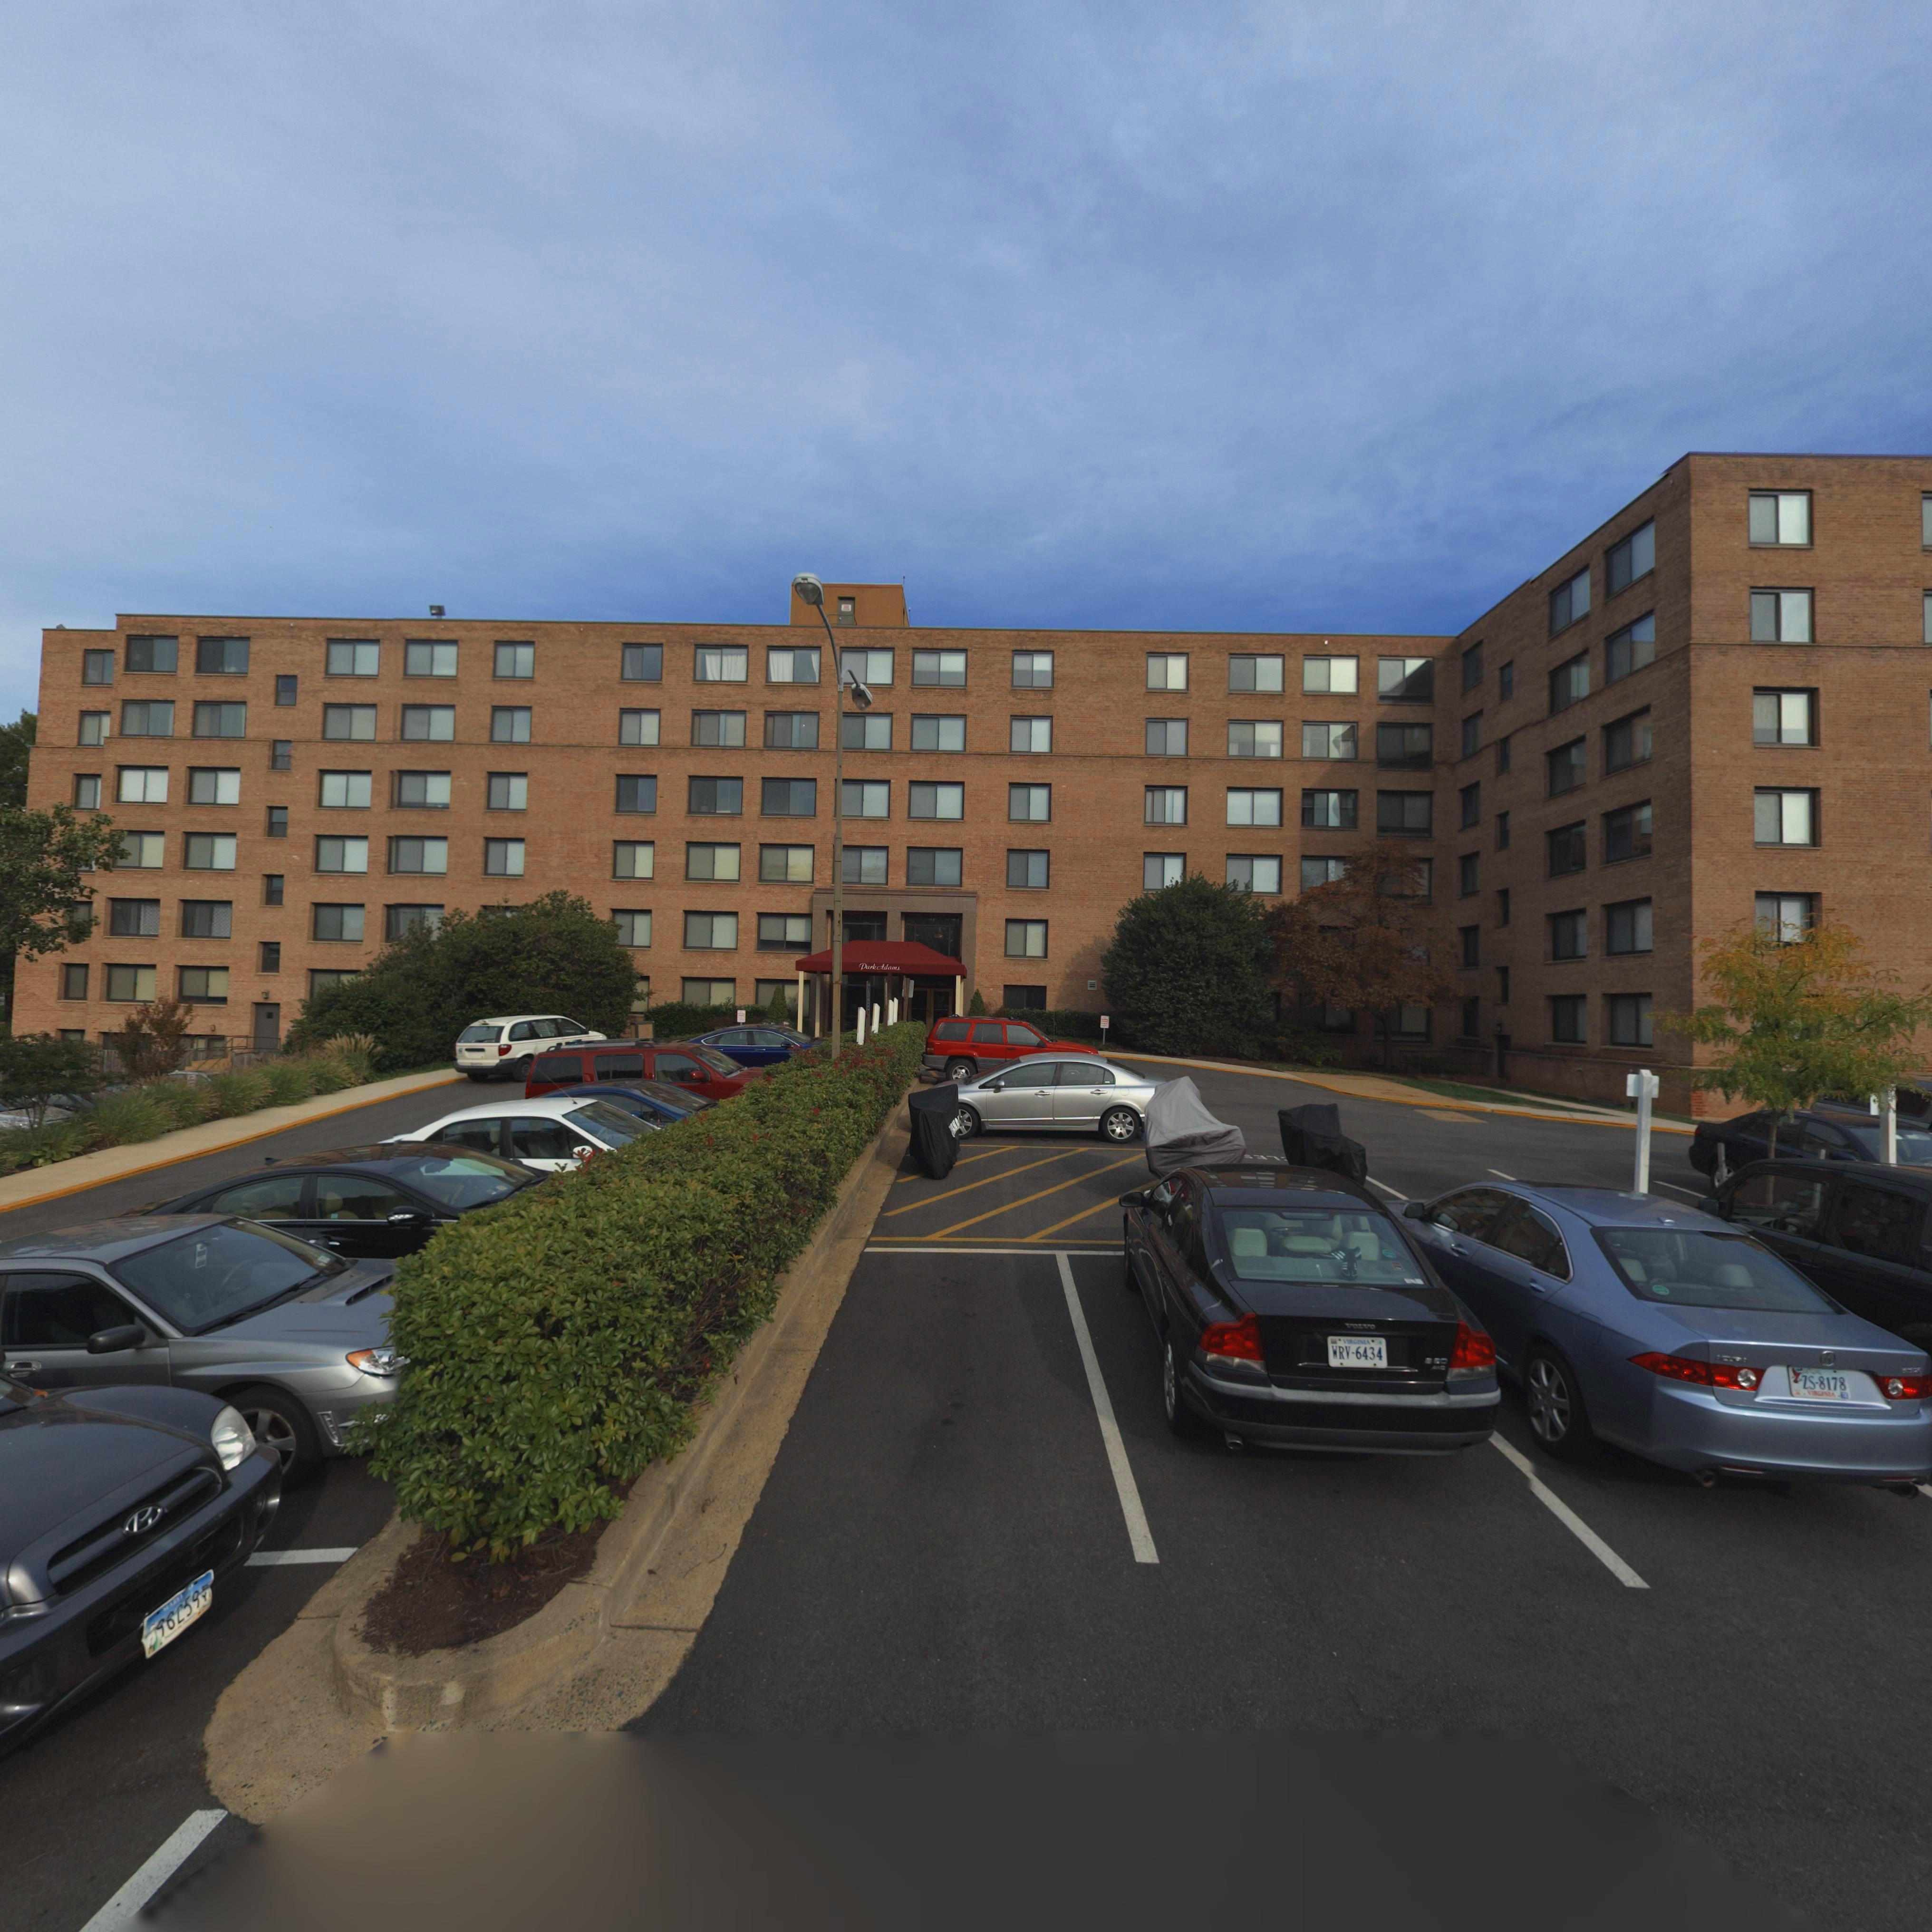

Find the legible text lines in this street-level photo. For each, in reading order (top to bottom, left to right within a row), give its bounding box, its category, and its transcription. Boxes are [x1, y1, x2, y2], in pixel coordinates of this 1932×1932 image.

[858, 962, 902, 972] BusinessName: Park Ada*s
[1343, 1322, 1376, 1330] None: VOLVO
[1342, 1338, 1372, 1345] None: VIRGINIA
[1331, 1344, 1383, 1362] None: WRV-6434
[1422, 1356, 1449, 1366] None: S*0
[1801, 1375, 1847, 1391] None: ZS-8178
[1805, 1389, 1836, 1398] None: VIRGINIA
[201, 1590, 208, 1603] None: Y
[154, 1585, 203, 1643] None: 98*59